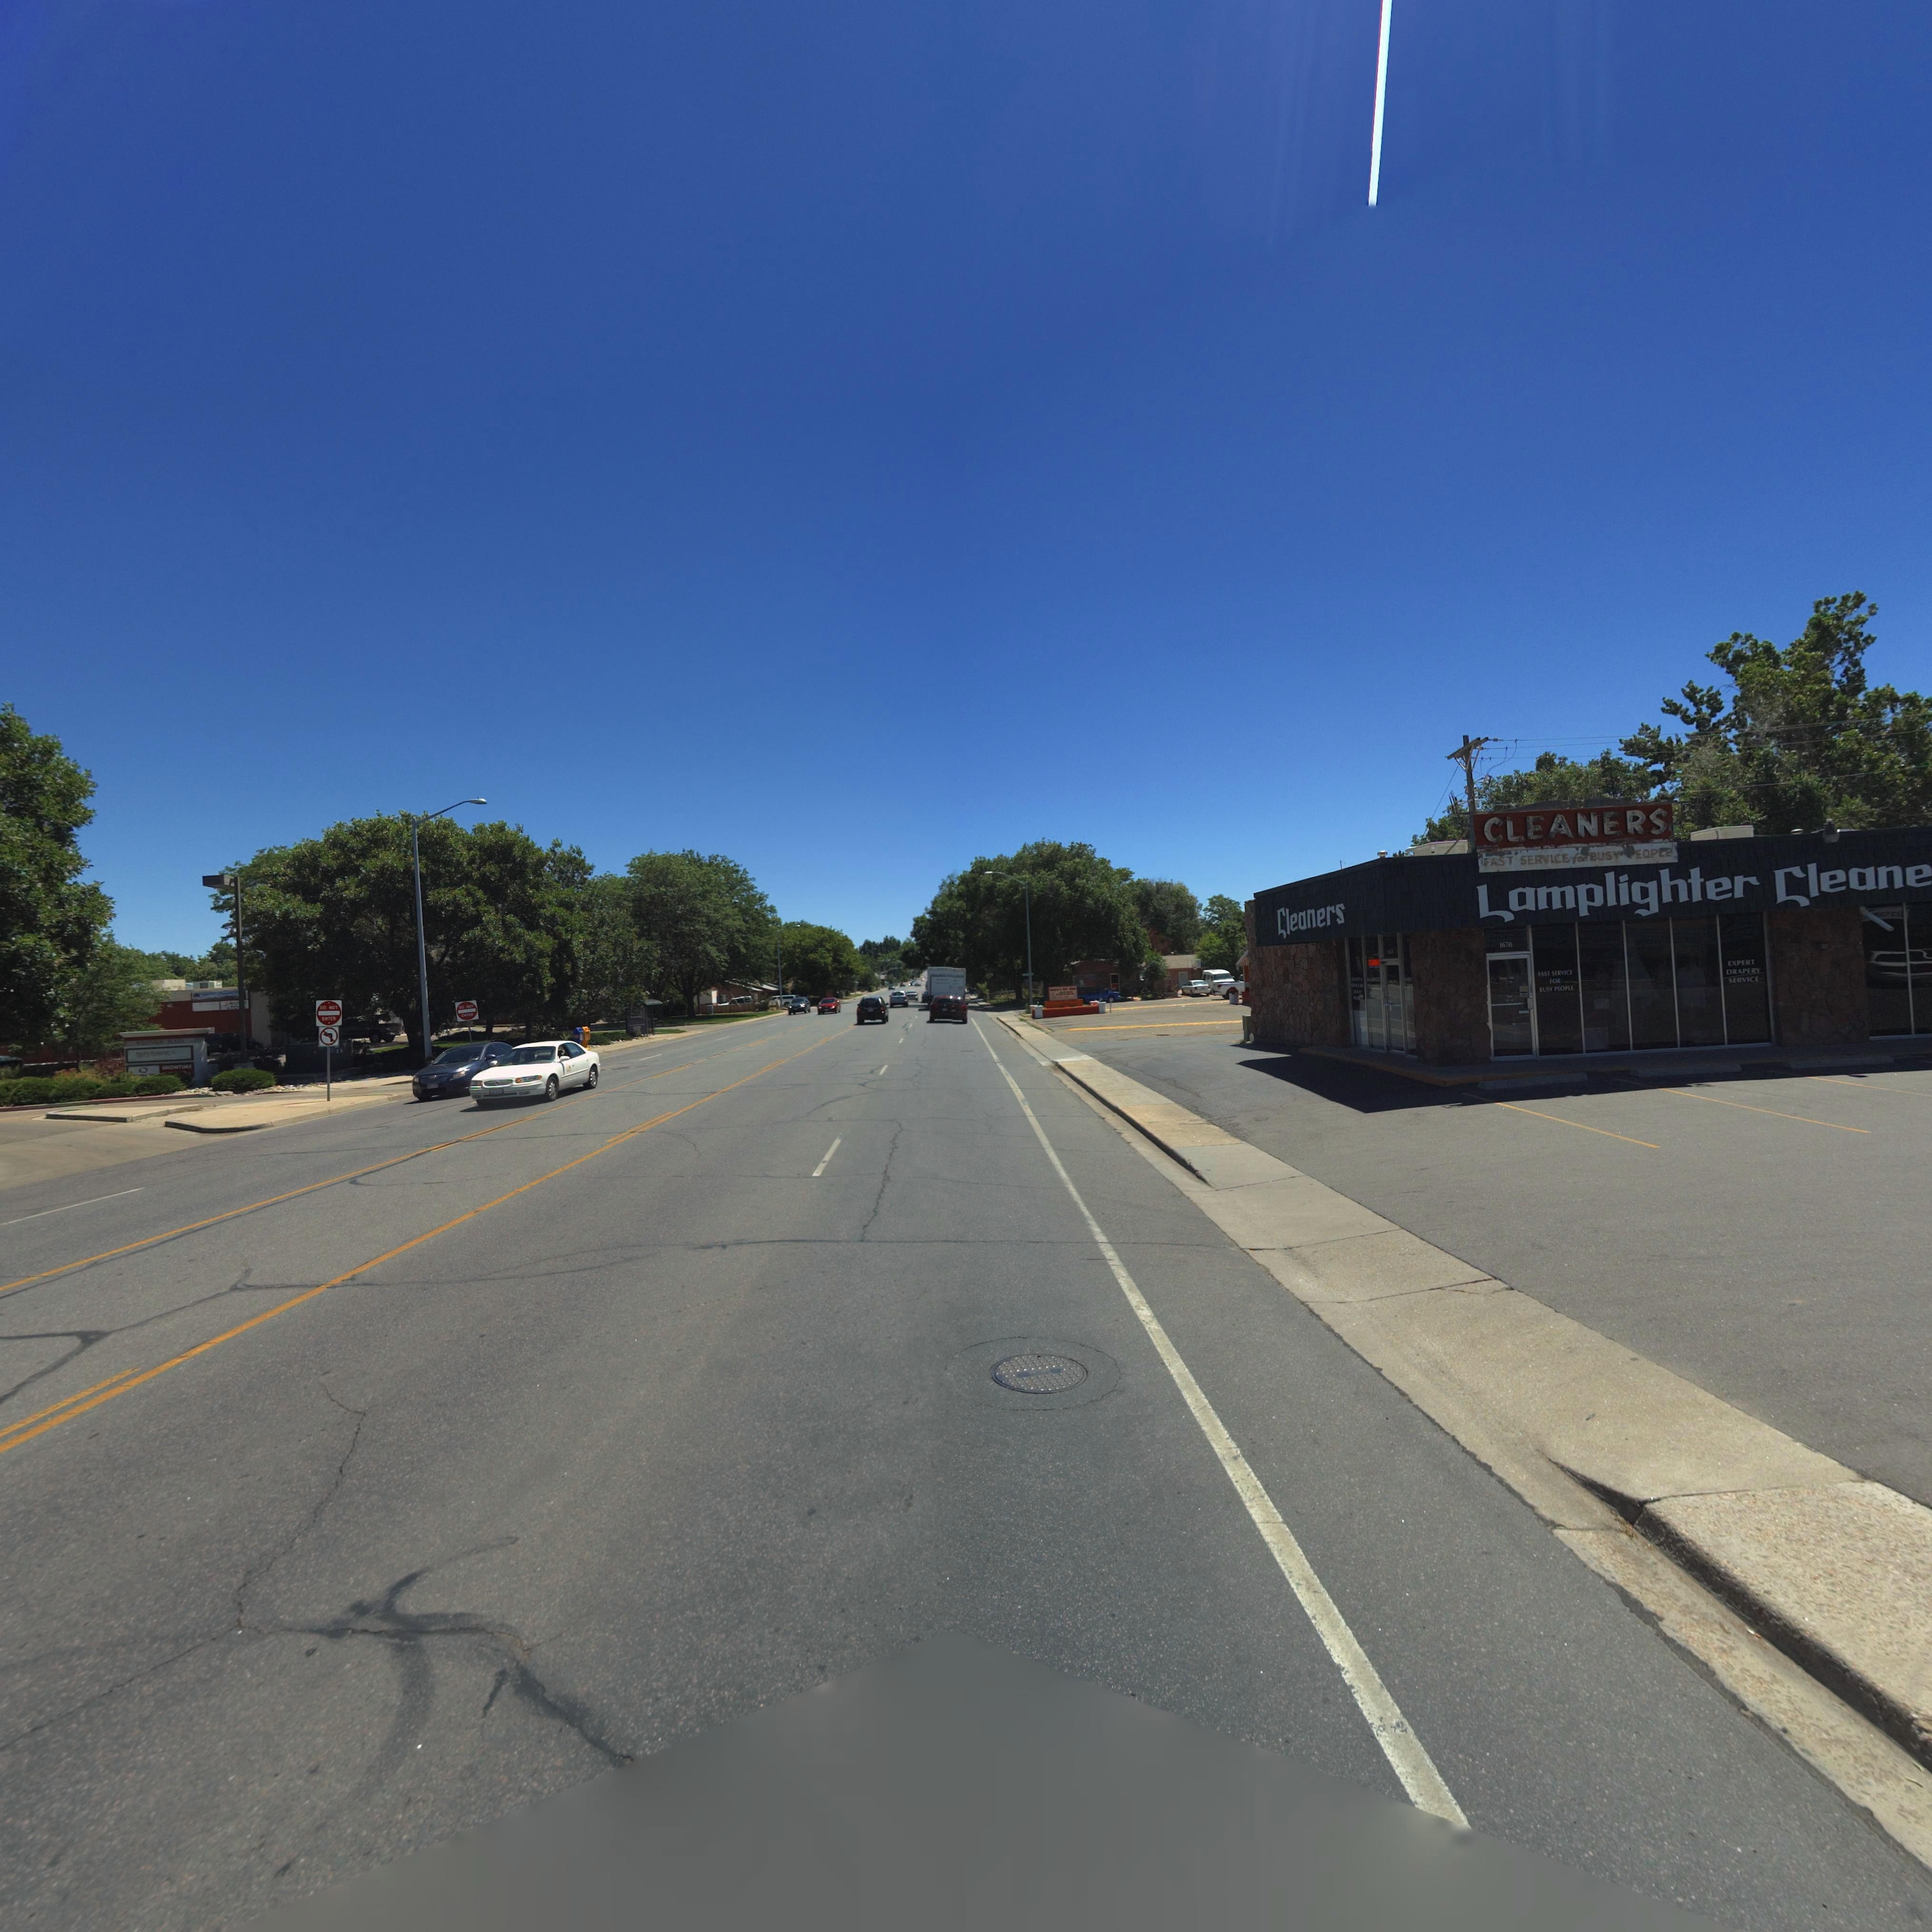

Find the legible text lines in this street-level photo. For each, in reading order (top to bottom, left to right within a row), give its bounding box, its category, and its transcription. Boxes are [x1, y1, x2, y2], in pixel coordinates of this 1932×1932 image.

[1474, 861, 1931, 923] BusinessName: Lamplighter Cleane
[1276, 902, 1346, 939] BusinessName: Cleaners
[1499, 941, 1513, 948] StreetNumber: 1678
[229, 1001, 238, 1005] BusinessName: BU
[229, 1005, 238, 1009] BusinessName: TO
[161, 1063, 192, 1071] BusinessName: SHOWTIME